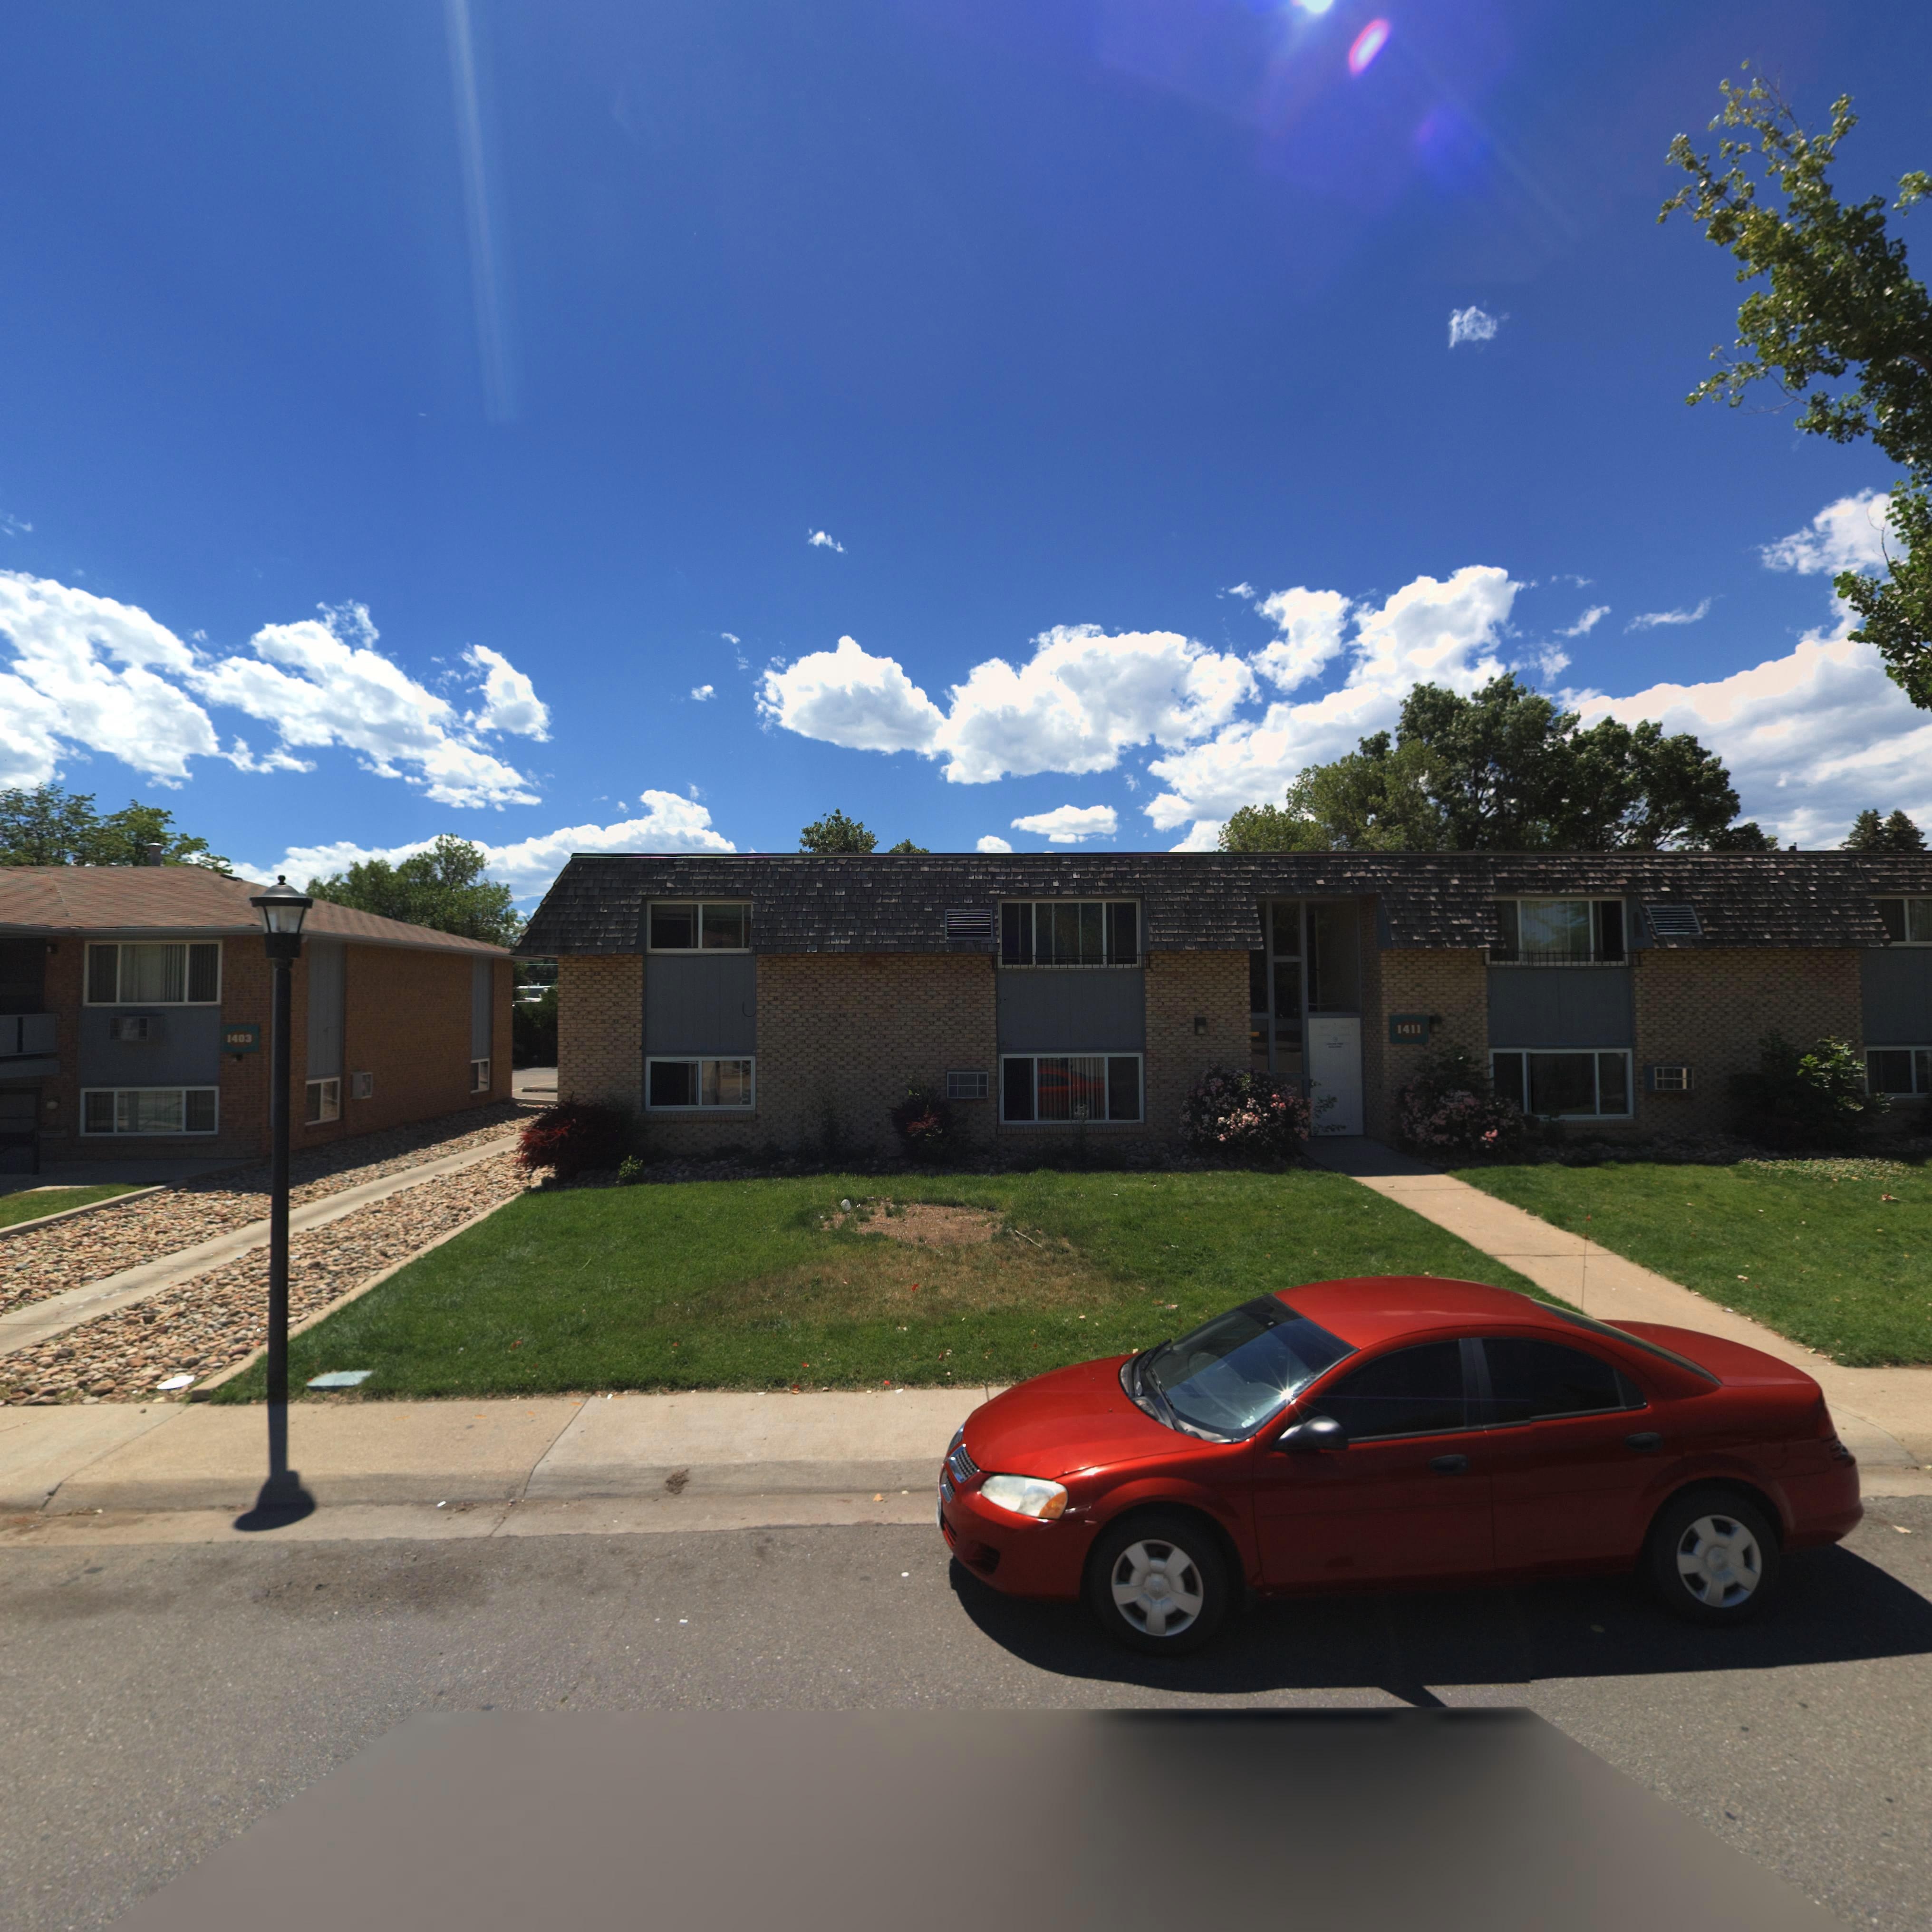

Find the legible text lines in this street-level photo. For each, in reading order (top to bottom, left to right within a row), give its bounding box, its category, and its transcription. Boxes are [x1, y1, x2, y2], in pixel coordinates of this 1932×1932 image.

[1396, 1024, 1421, 1034] StreetNumber: 1411
[226, 1034, 252, 1043] StreetNumber: 1403